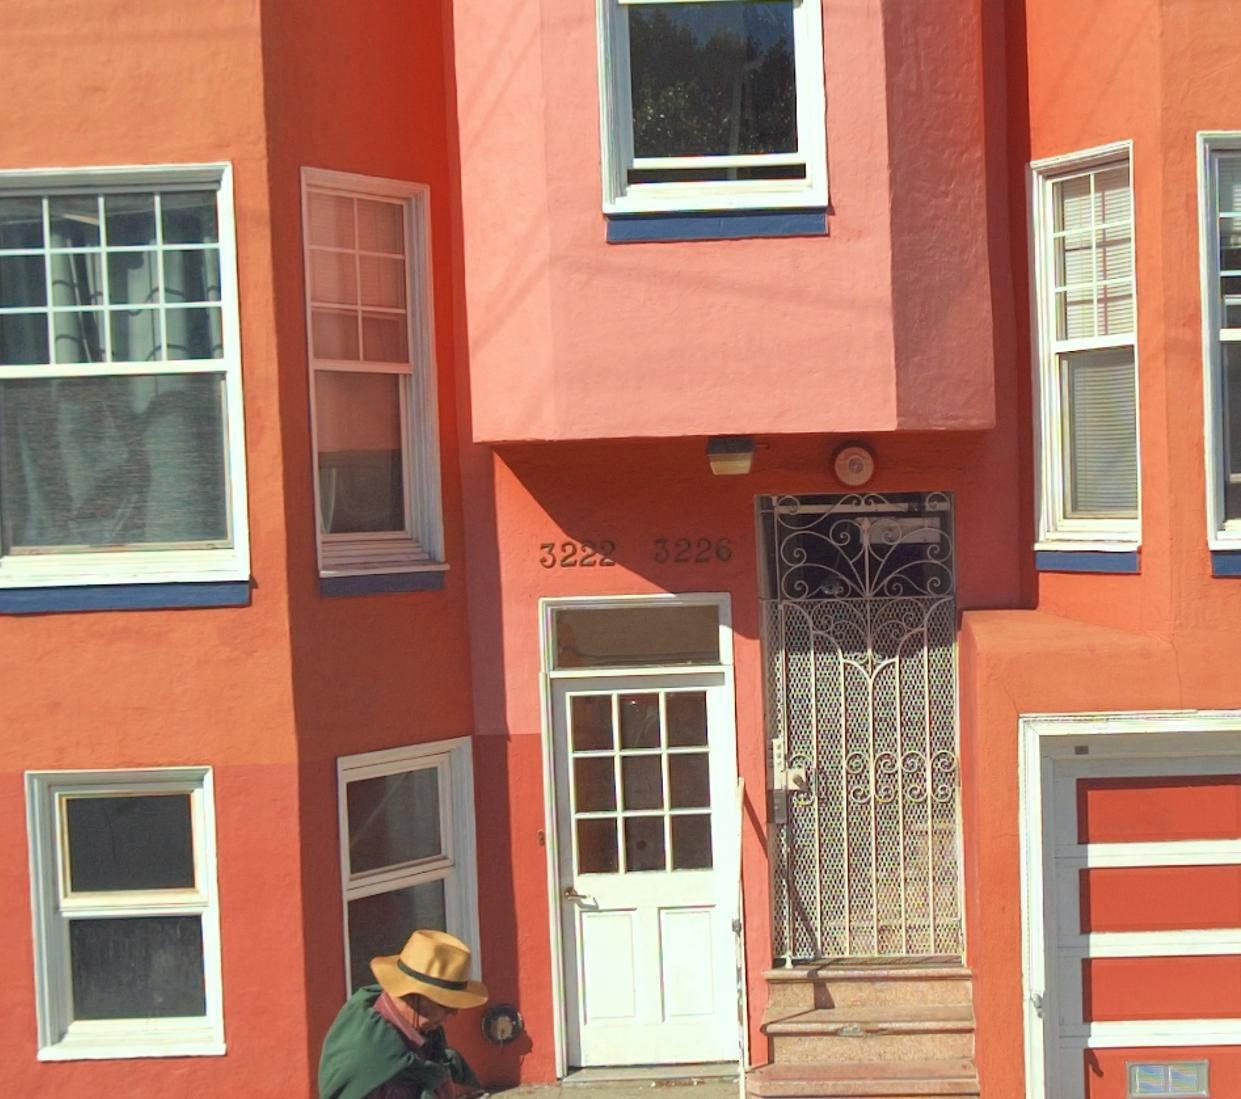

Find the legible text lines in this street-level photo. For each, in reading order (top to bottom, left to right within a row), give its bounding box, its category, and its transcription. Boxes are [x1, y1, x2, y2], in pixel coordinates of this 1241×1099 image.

[539, 539, 619, 571] StreetNumber: 3222
[651, 535, 734, 565] StreetNumber: 3226